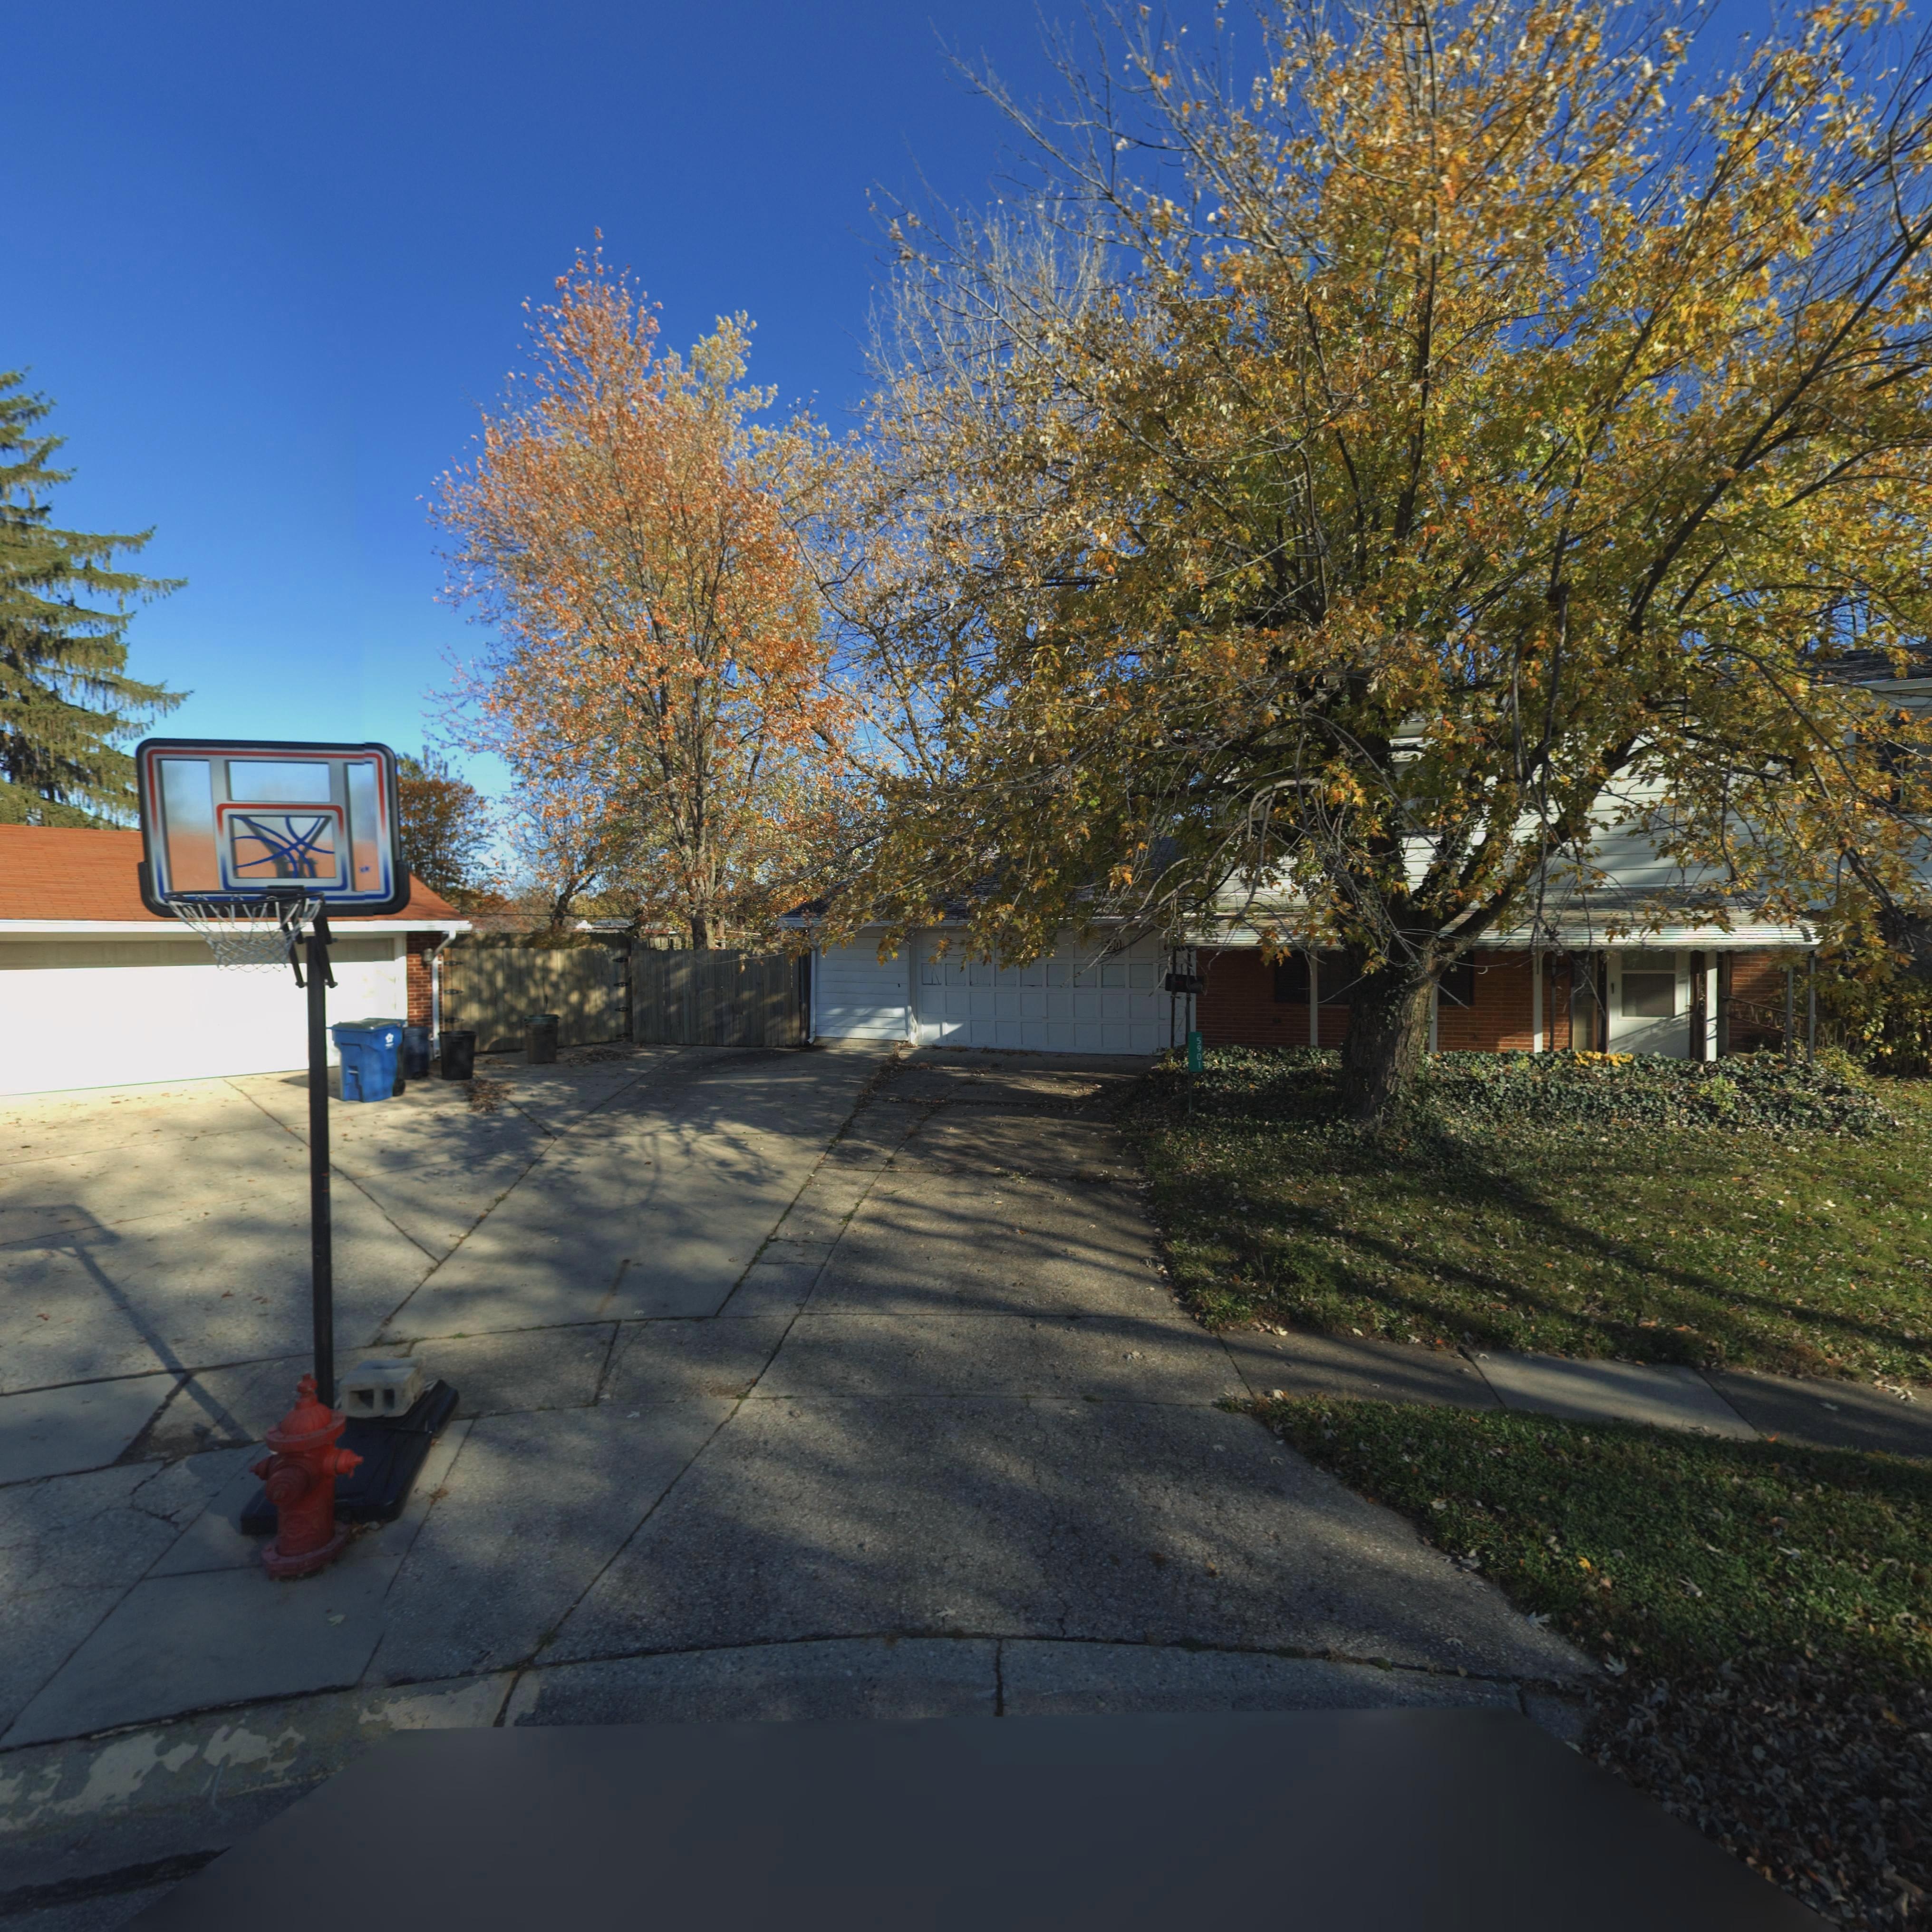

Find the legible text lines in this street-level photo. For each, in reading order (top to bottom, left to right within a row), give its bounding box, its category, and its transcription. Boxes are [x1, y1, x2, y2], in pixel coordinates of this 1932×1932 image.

[1113, 937, 1121, 952] StreetNumber: 0
[1598, 952, 1607, 973] StreetNumber: 01
[1195, 1036, 1203, 1070] StreetNumber: 5901